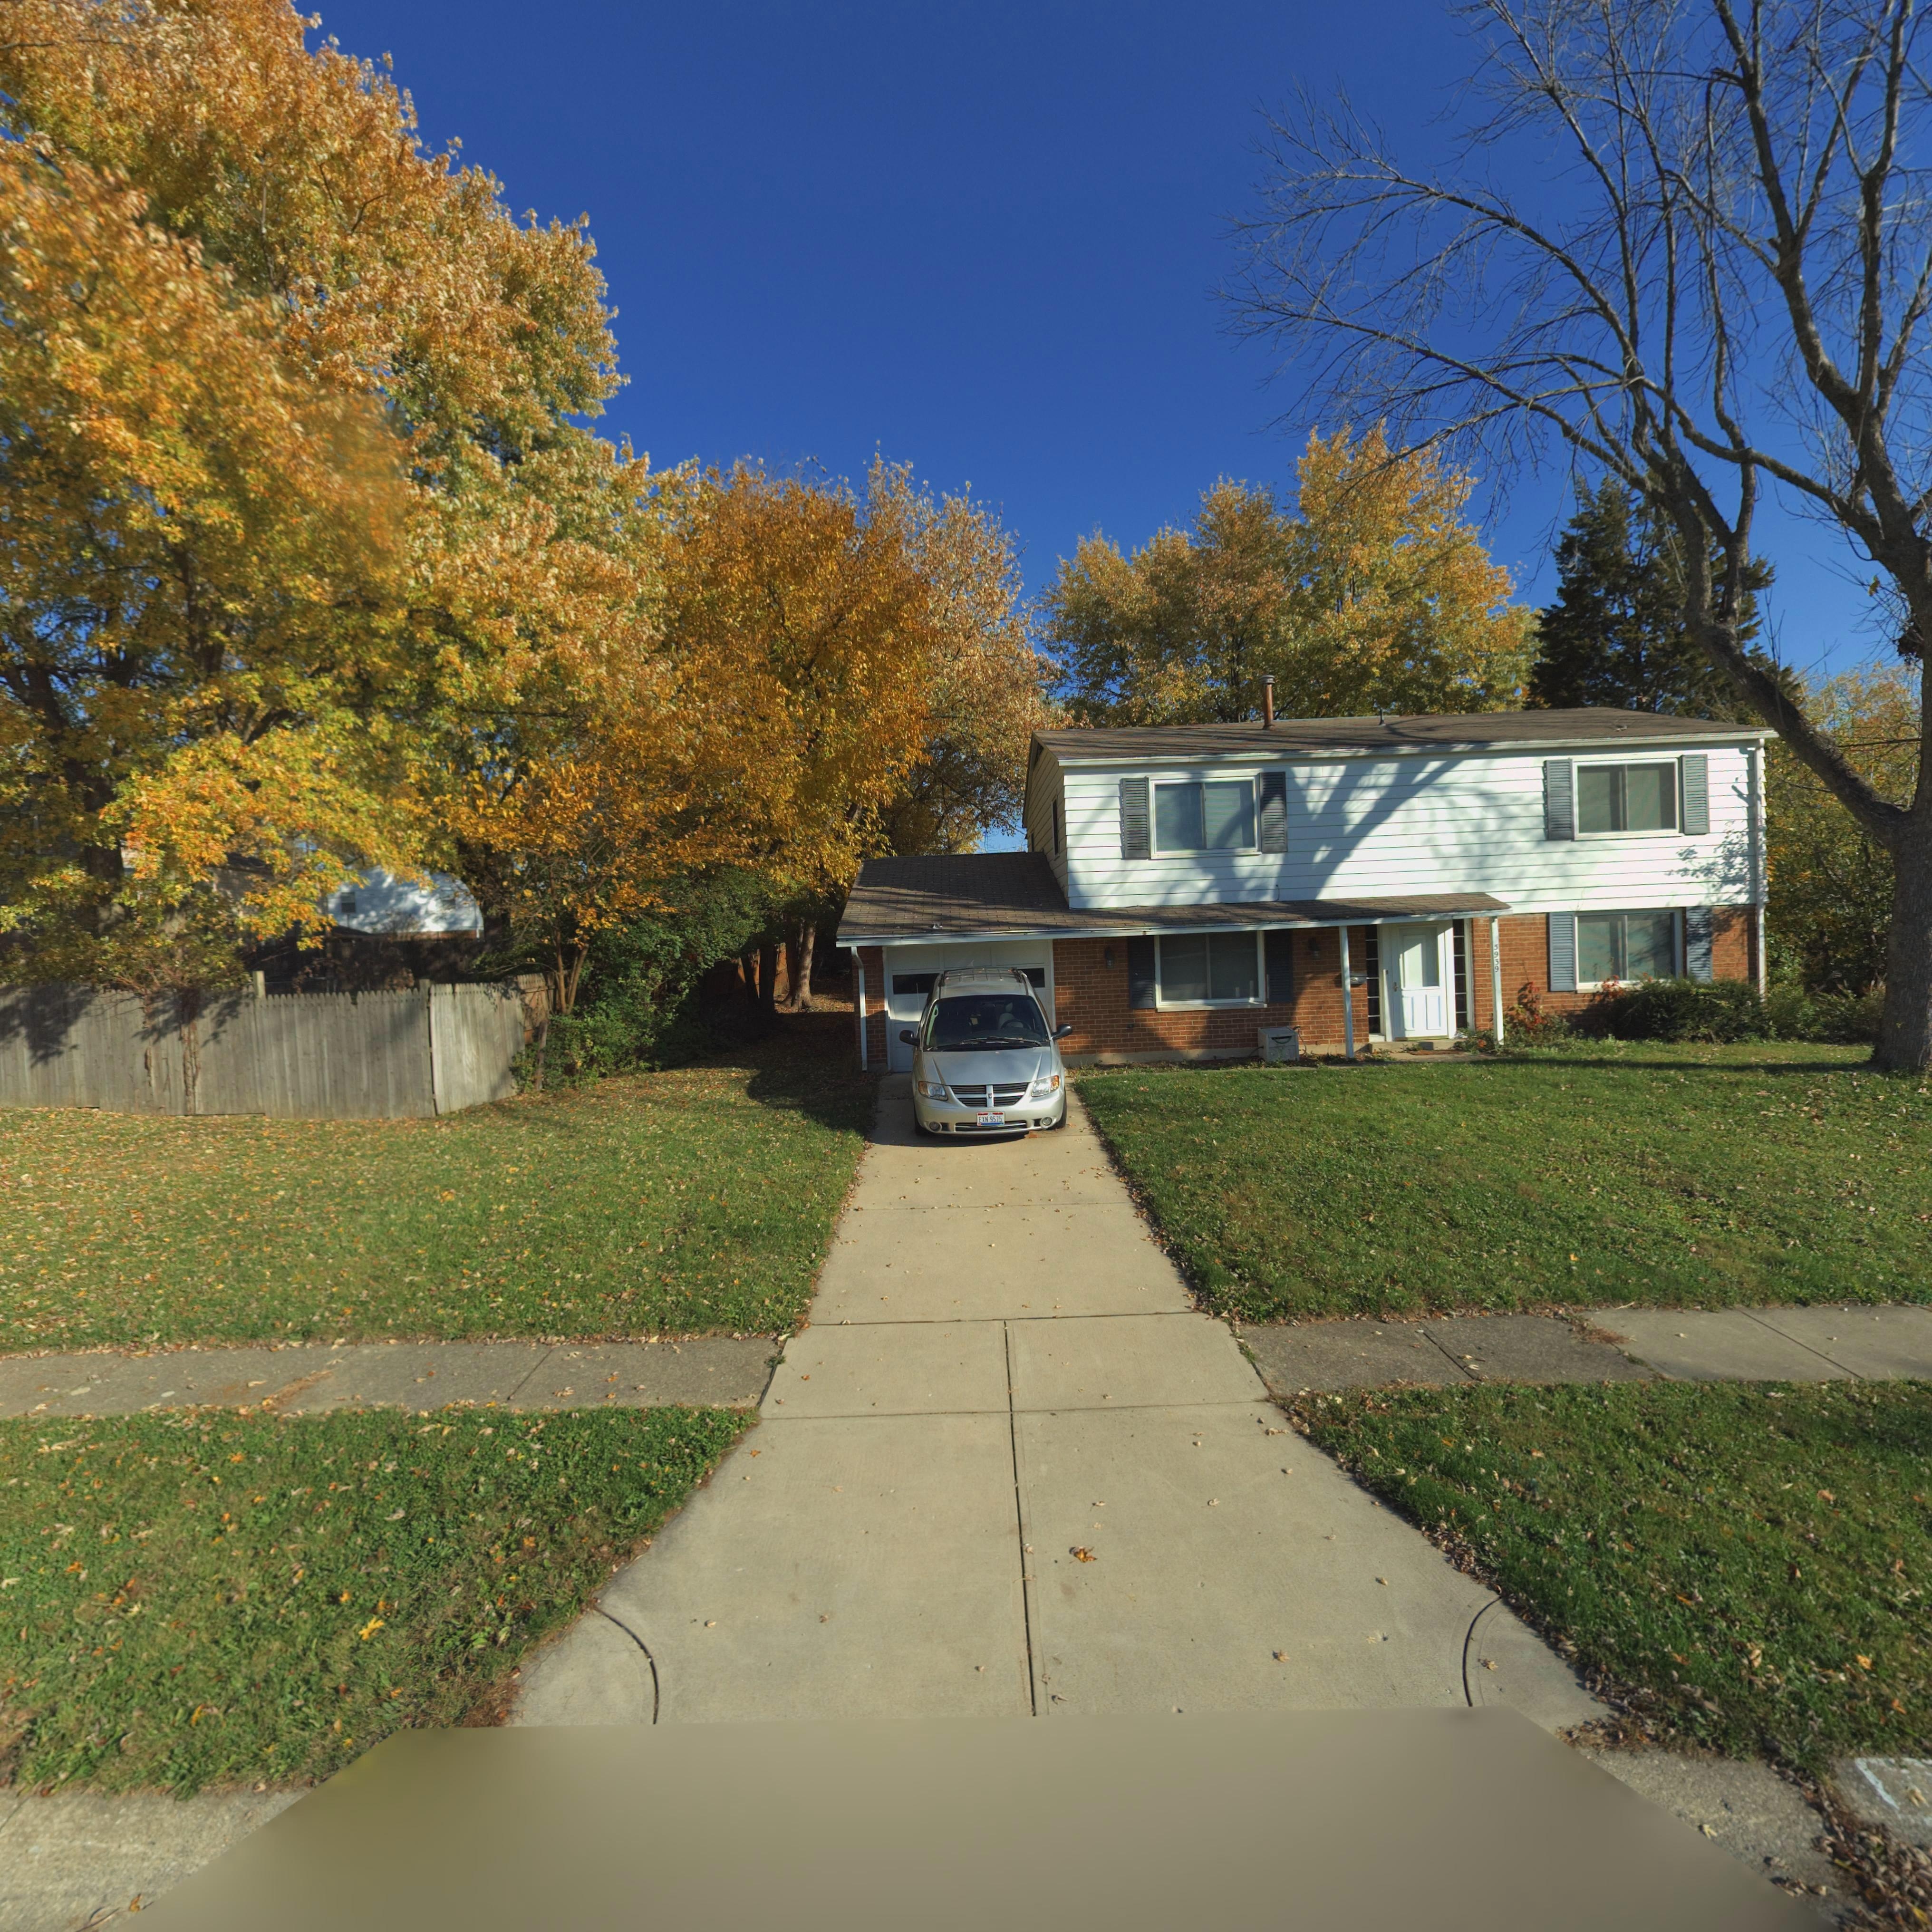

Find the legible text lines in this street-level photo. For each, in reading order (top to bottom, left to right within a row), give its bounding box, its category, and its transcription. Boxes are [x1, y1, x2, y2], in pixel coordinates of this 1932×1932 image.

[1492, 943, 1500, 974] StreetNumber: 5939